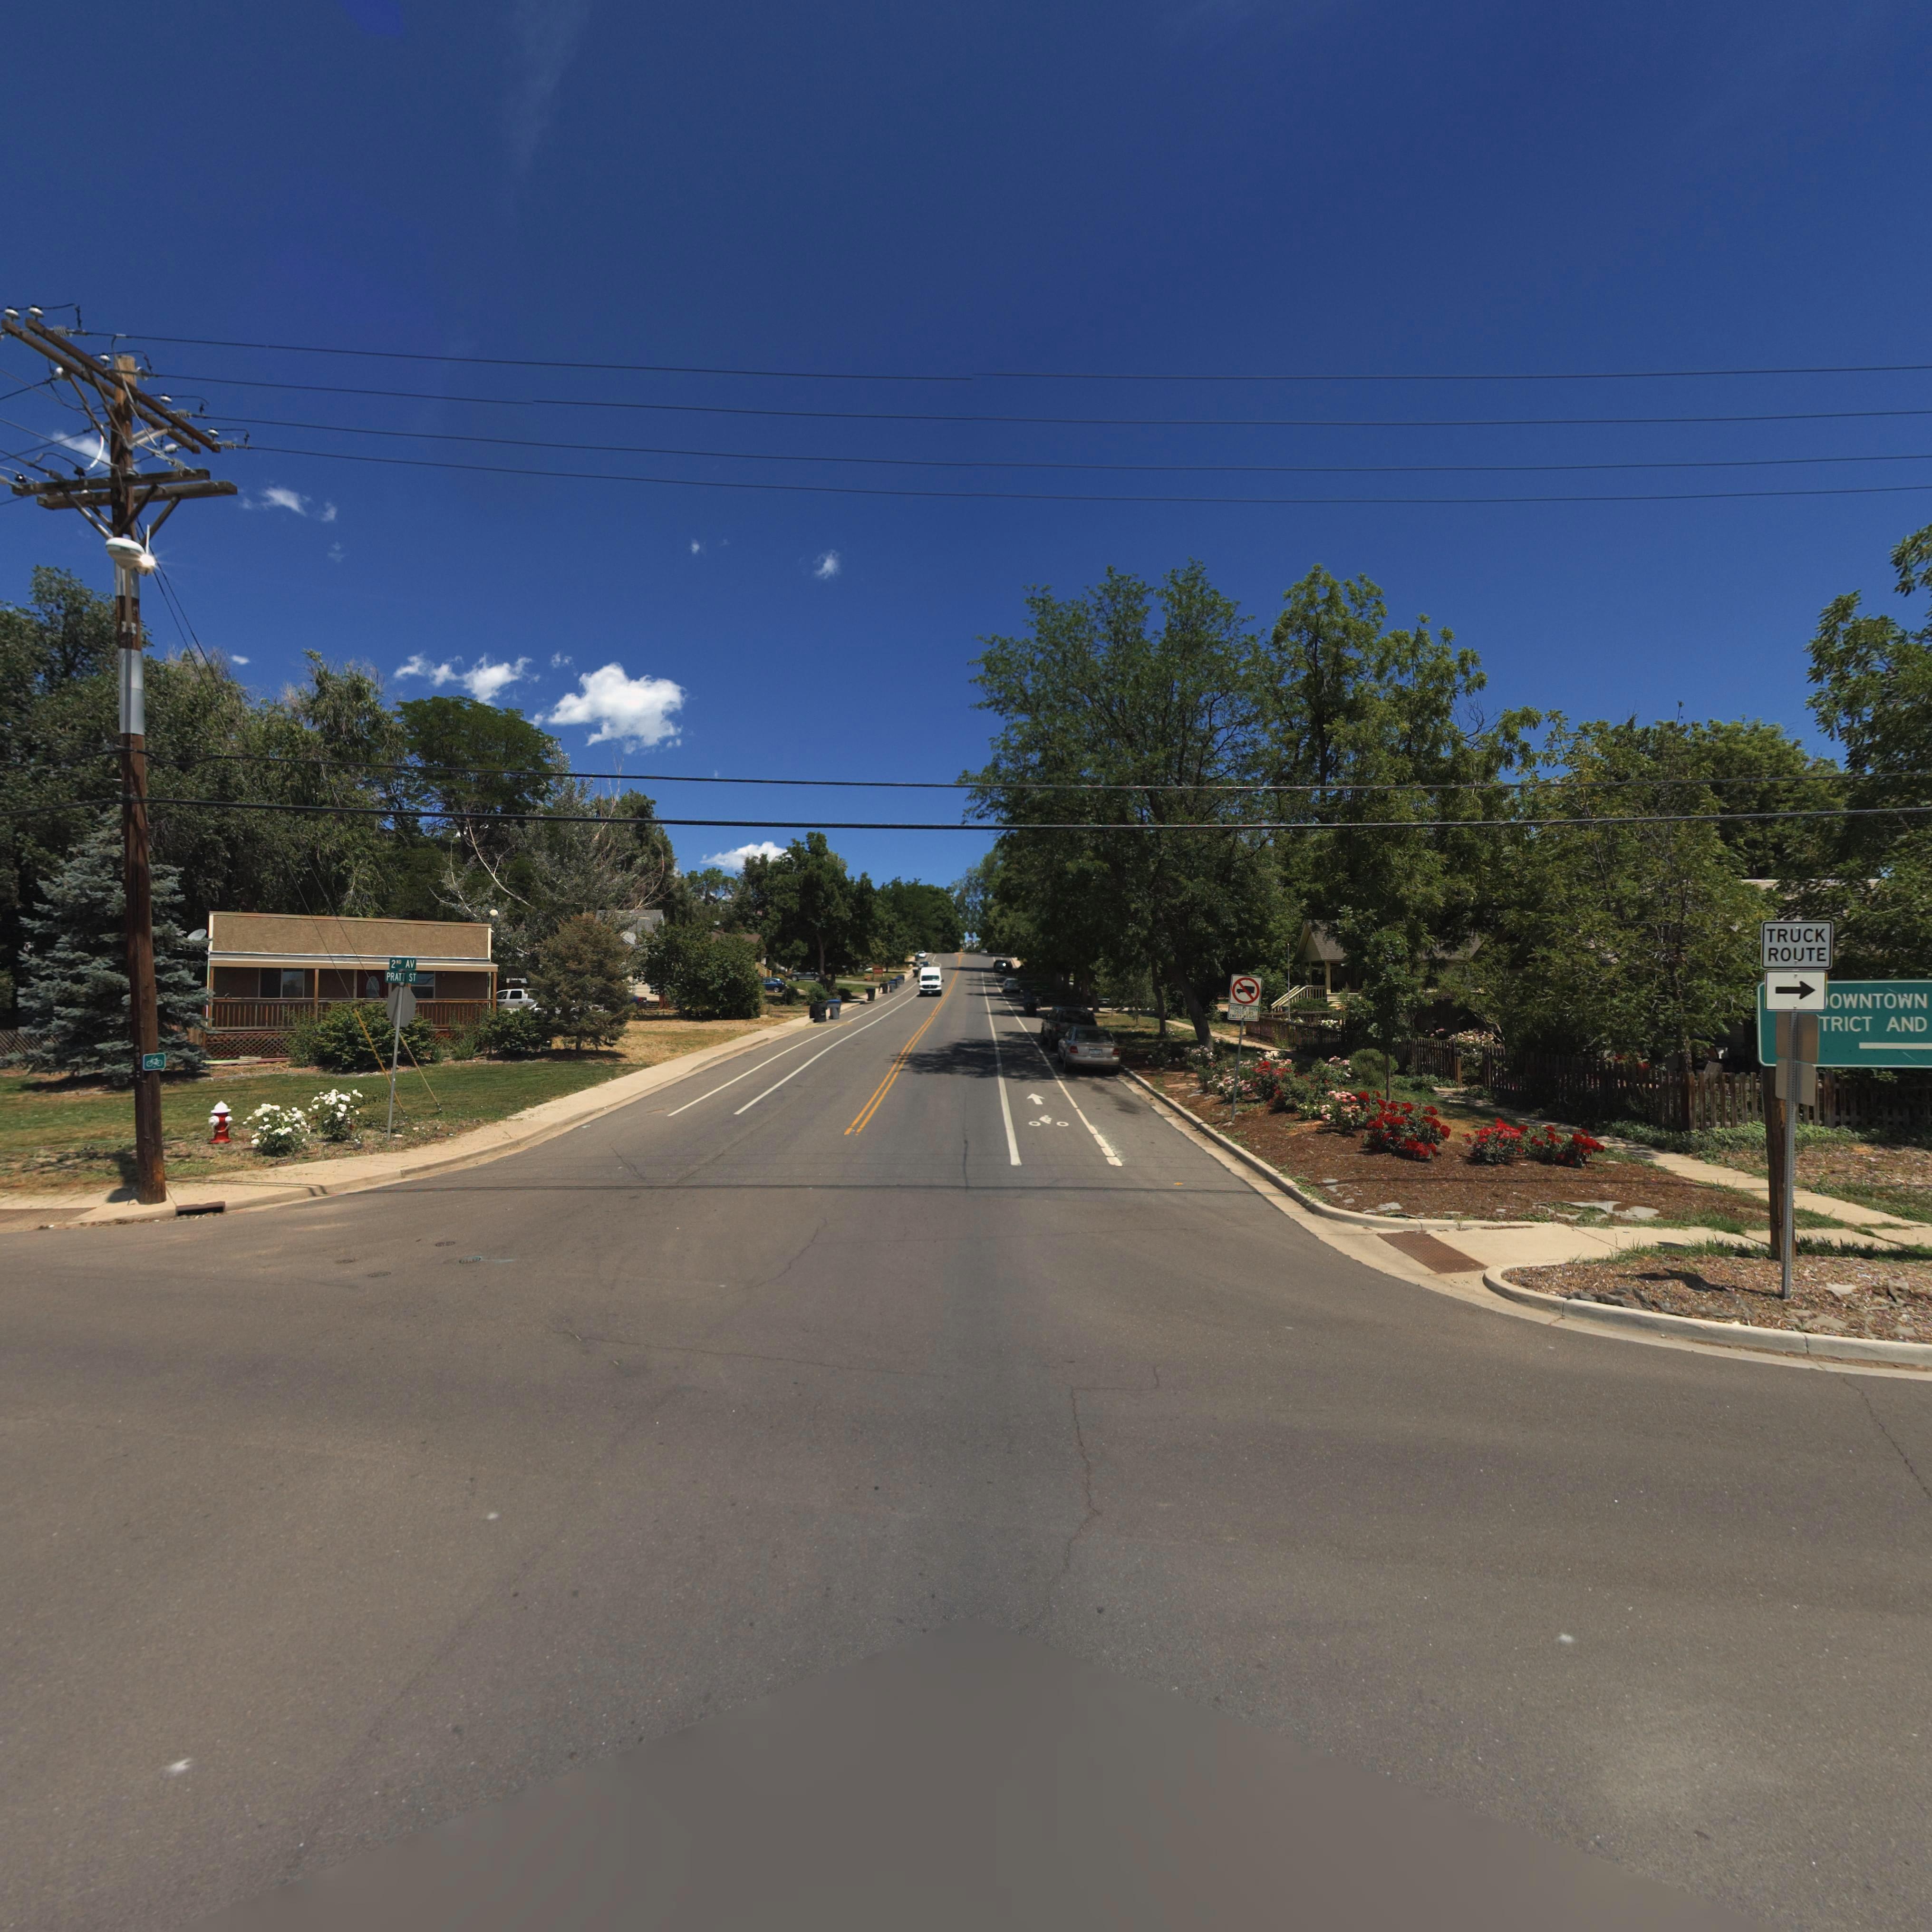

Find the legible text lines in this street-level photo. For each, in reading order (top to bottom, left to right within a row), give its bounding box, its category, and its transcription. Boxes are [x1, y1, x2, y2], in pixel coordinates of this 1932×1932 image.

[391, 959, 414, 968] StreetName: 2ND AV
[386, 972, 416, 982] StreetName: PRATT ST